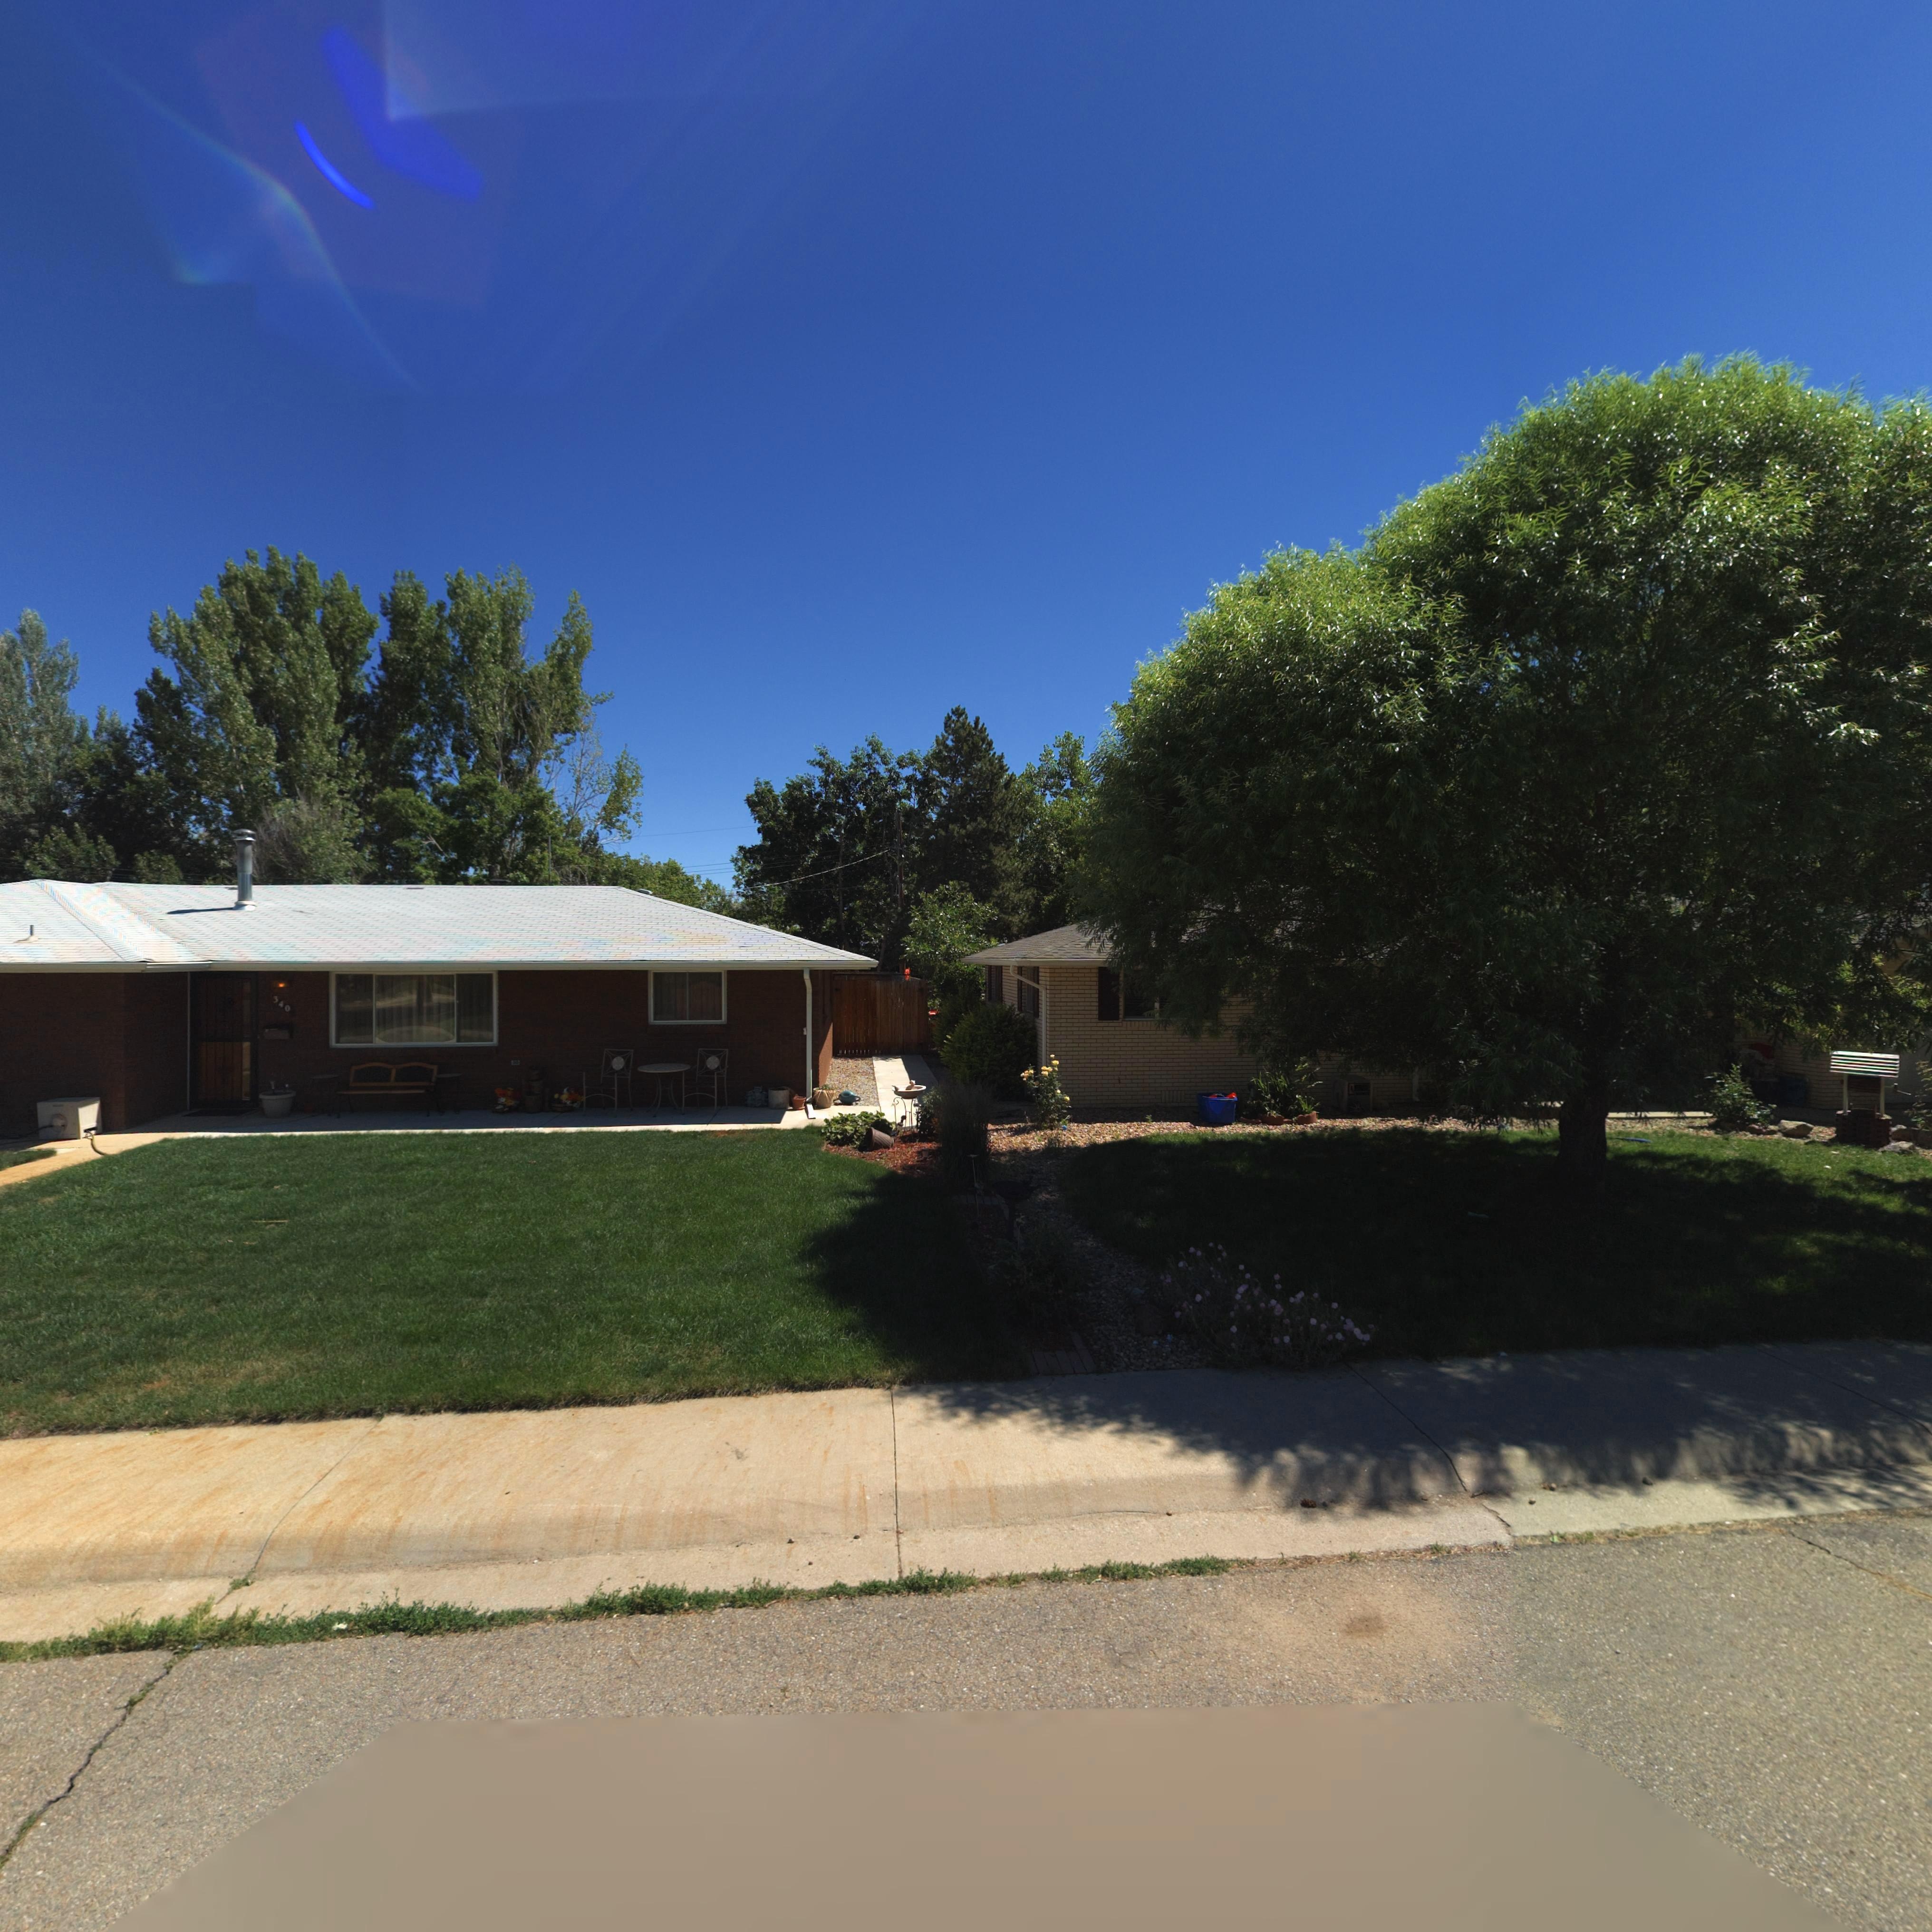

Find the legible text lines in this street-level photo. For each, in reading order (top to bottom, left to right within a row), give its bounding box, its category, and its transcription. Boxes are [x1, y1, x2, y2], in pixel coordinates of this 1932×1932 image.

[272, 995, 290, 1012] StreetNumber: 340